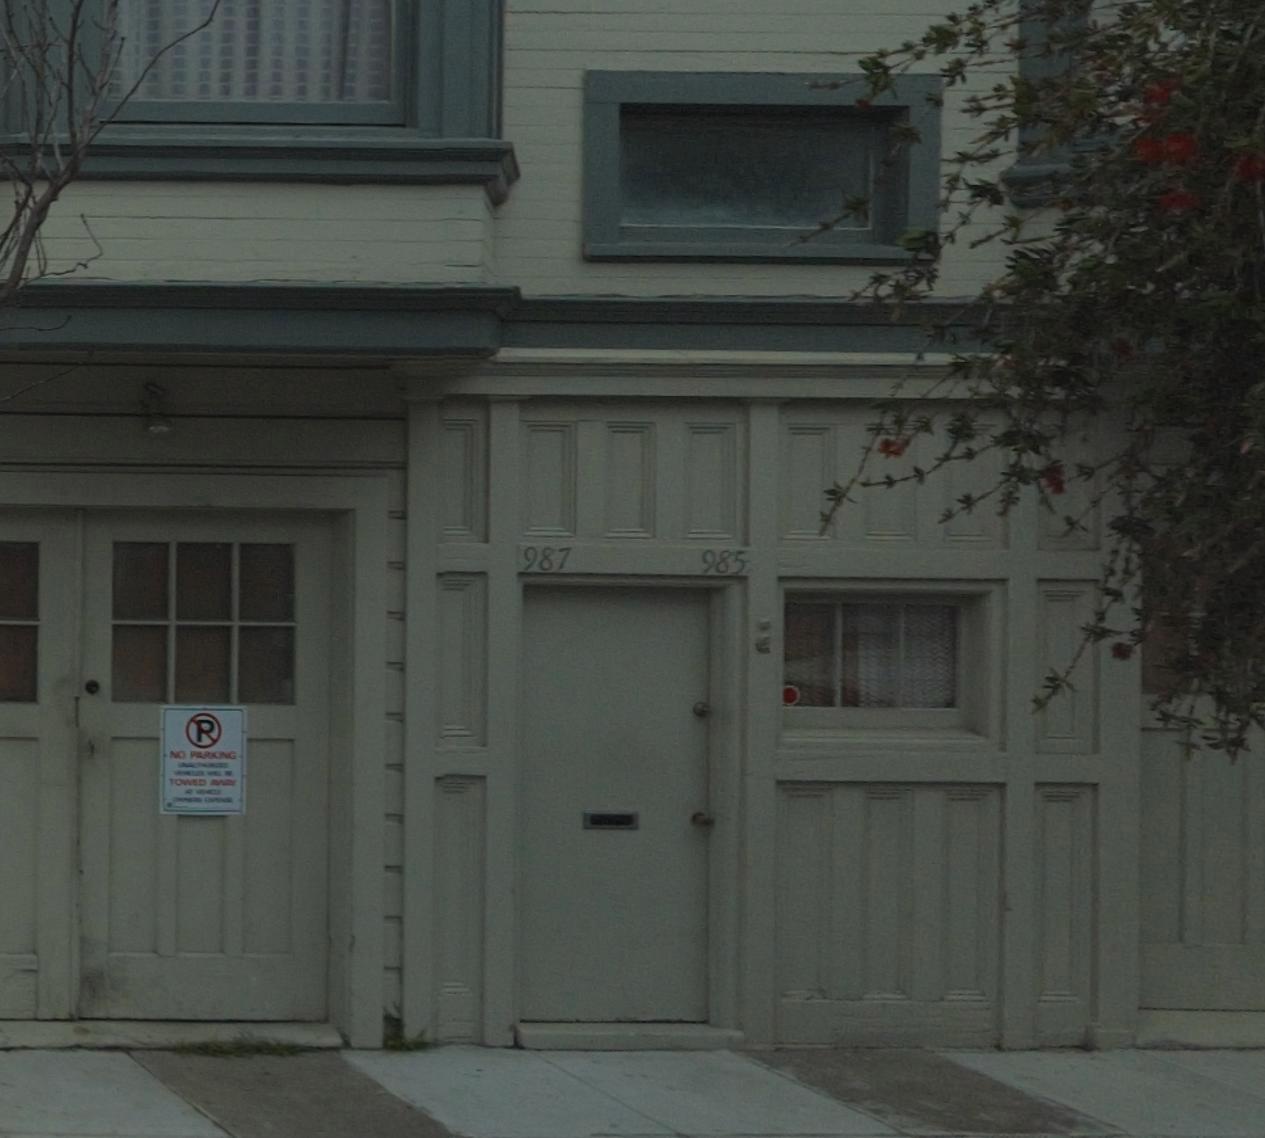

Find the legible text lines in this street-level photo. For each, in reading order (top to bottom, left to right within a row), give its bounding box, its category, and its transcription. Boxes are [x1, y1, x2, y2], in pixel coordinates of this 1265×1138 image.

[521, 544, 574, 573] StreetNumber: 987
[700, 548, 749, 575] StreetNumber: 985
[168, 750, 237, 761] None: NO PARKING
[168, 777, 237, 787] None: TOWED AWAY